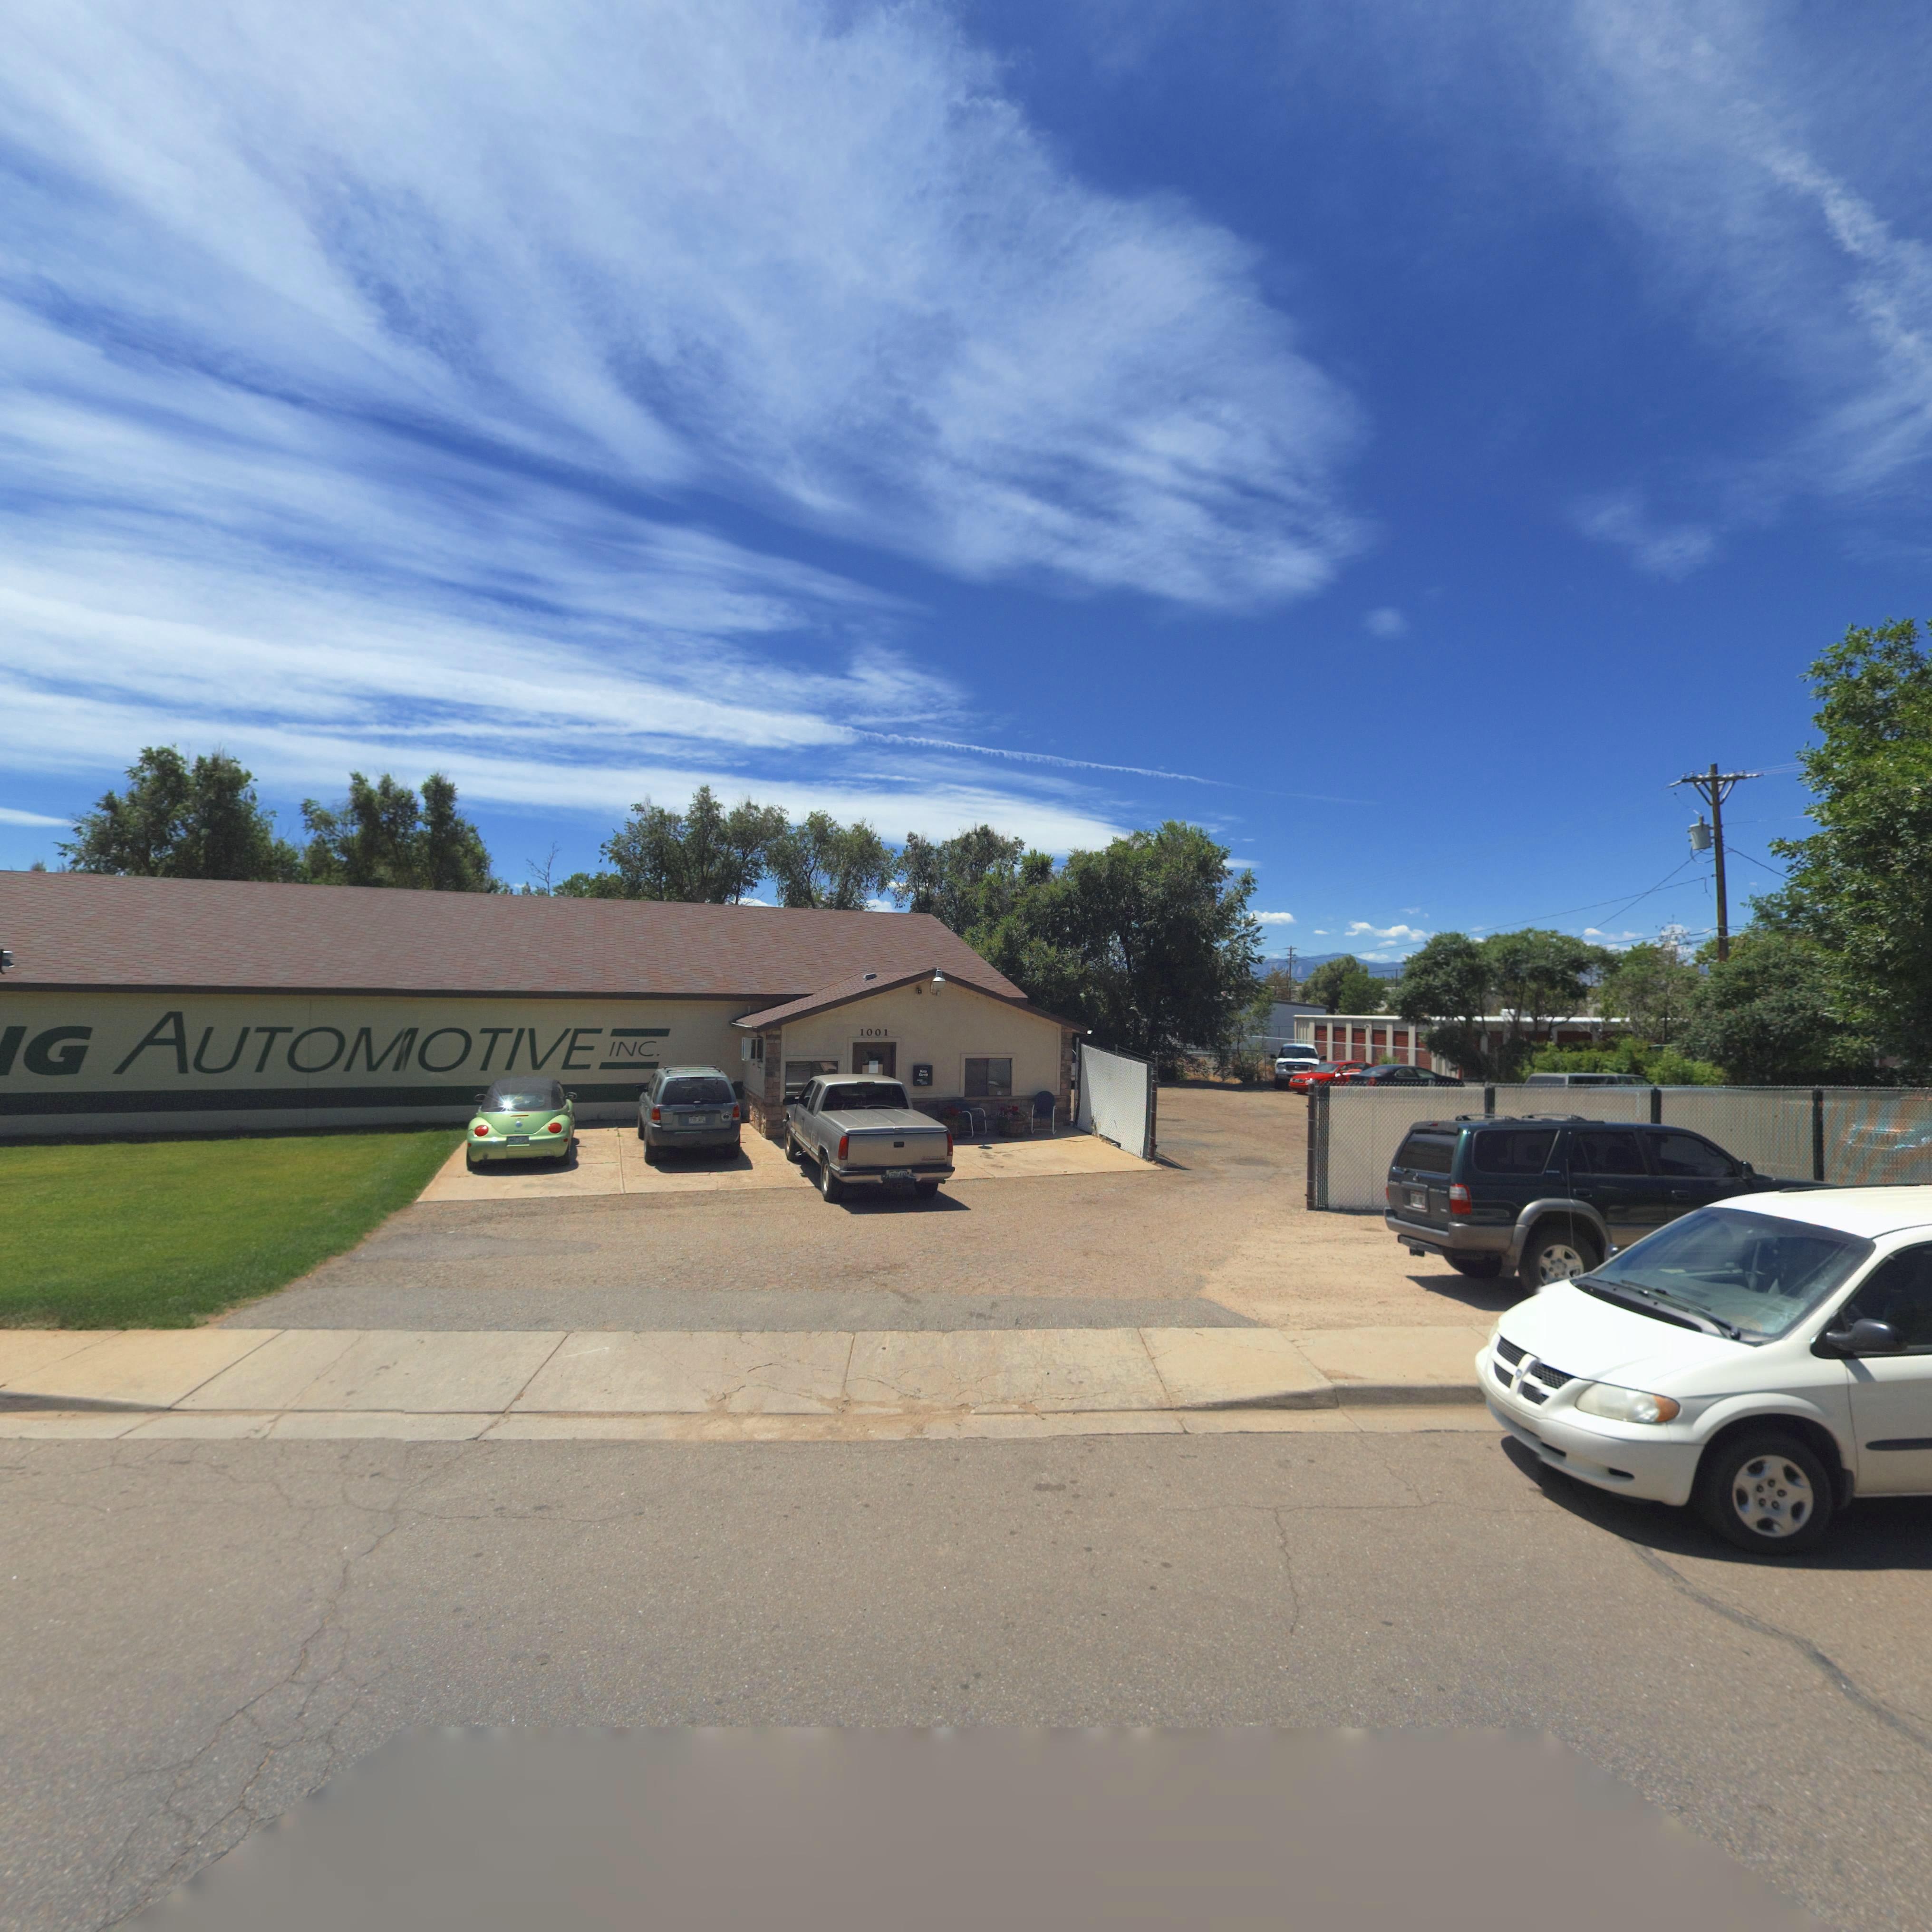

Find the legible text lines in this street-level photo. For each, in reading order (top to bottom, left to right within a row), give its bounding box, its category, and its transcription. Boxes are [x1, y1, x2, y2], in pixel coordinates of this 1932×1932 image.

[21, 1009, 662, 1074] StreetNumber: G AUTOMOTIVE INC.
[860, 1028, 889, 1036] StreetNumber: 1001